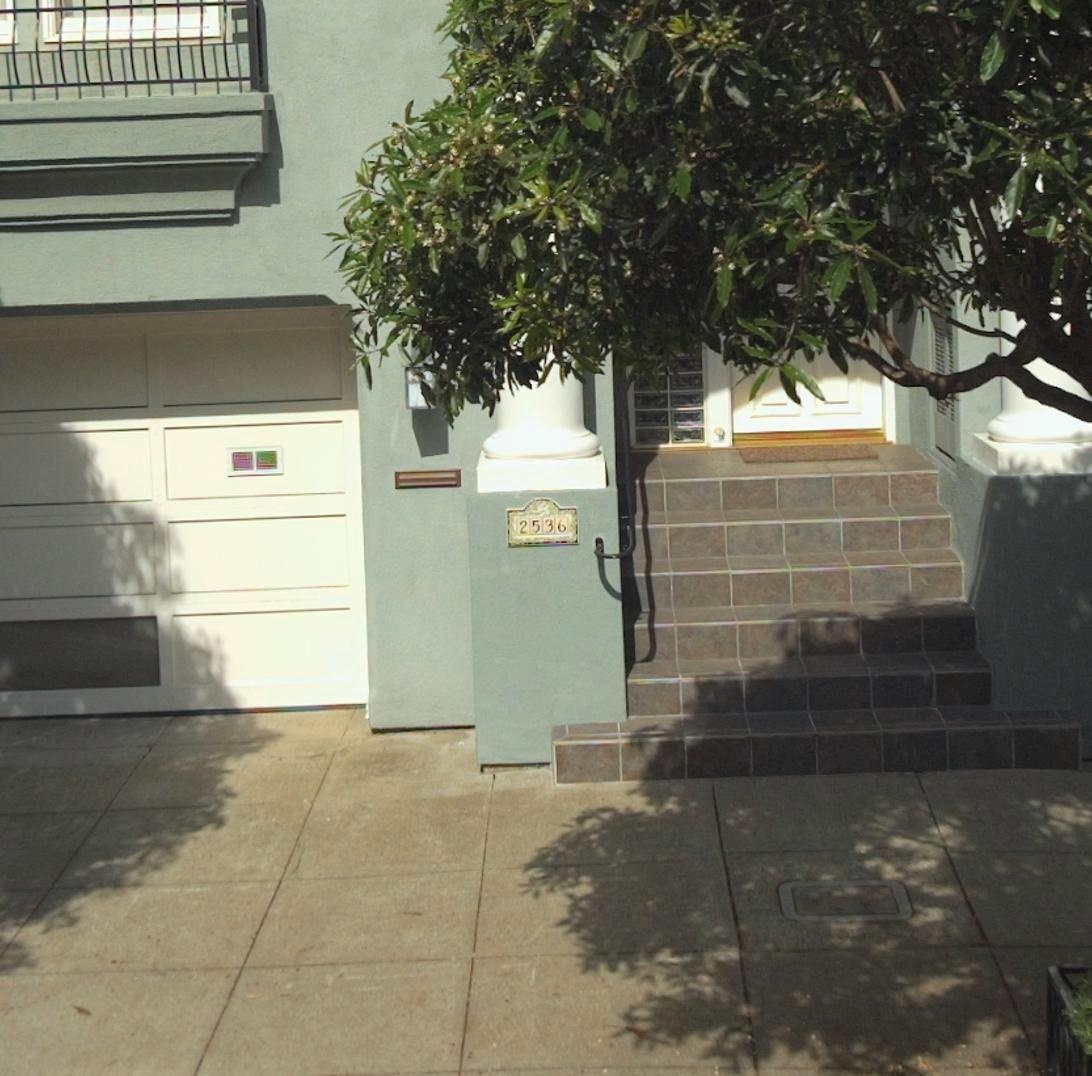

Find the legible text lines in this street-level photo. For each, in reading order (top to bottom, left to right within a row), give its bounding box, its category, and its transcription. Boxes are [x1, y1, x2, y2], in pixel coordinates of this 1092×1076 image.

[517, 517, 568, 536] StreetNumber: 2536